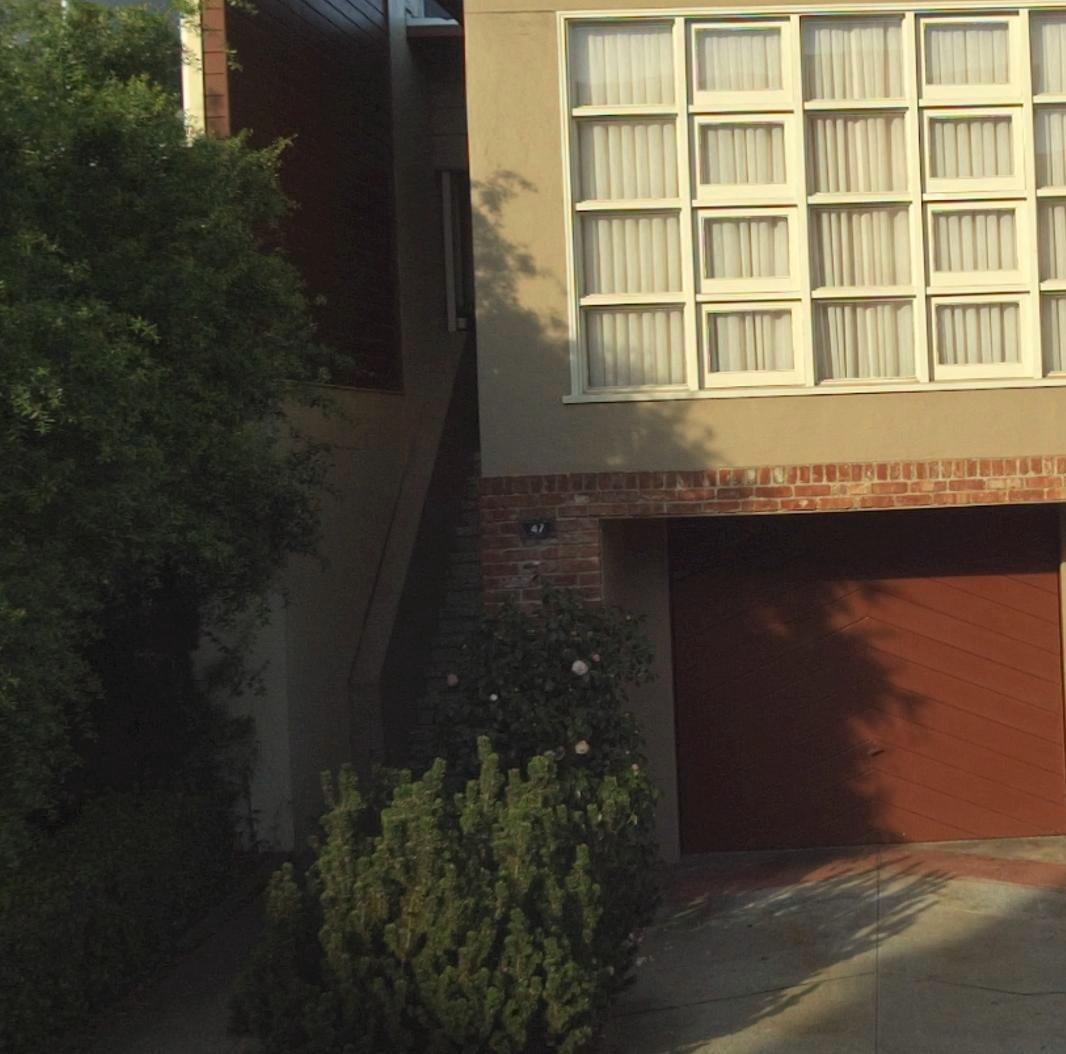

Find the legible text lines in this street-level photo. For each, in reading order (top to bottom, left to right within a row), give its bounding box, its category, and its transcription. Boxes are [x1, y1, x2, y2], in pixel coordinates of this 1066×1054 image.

[529, 521, 547, 535] StreetNumber: 47